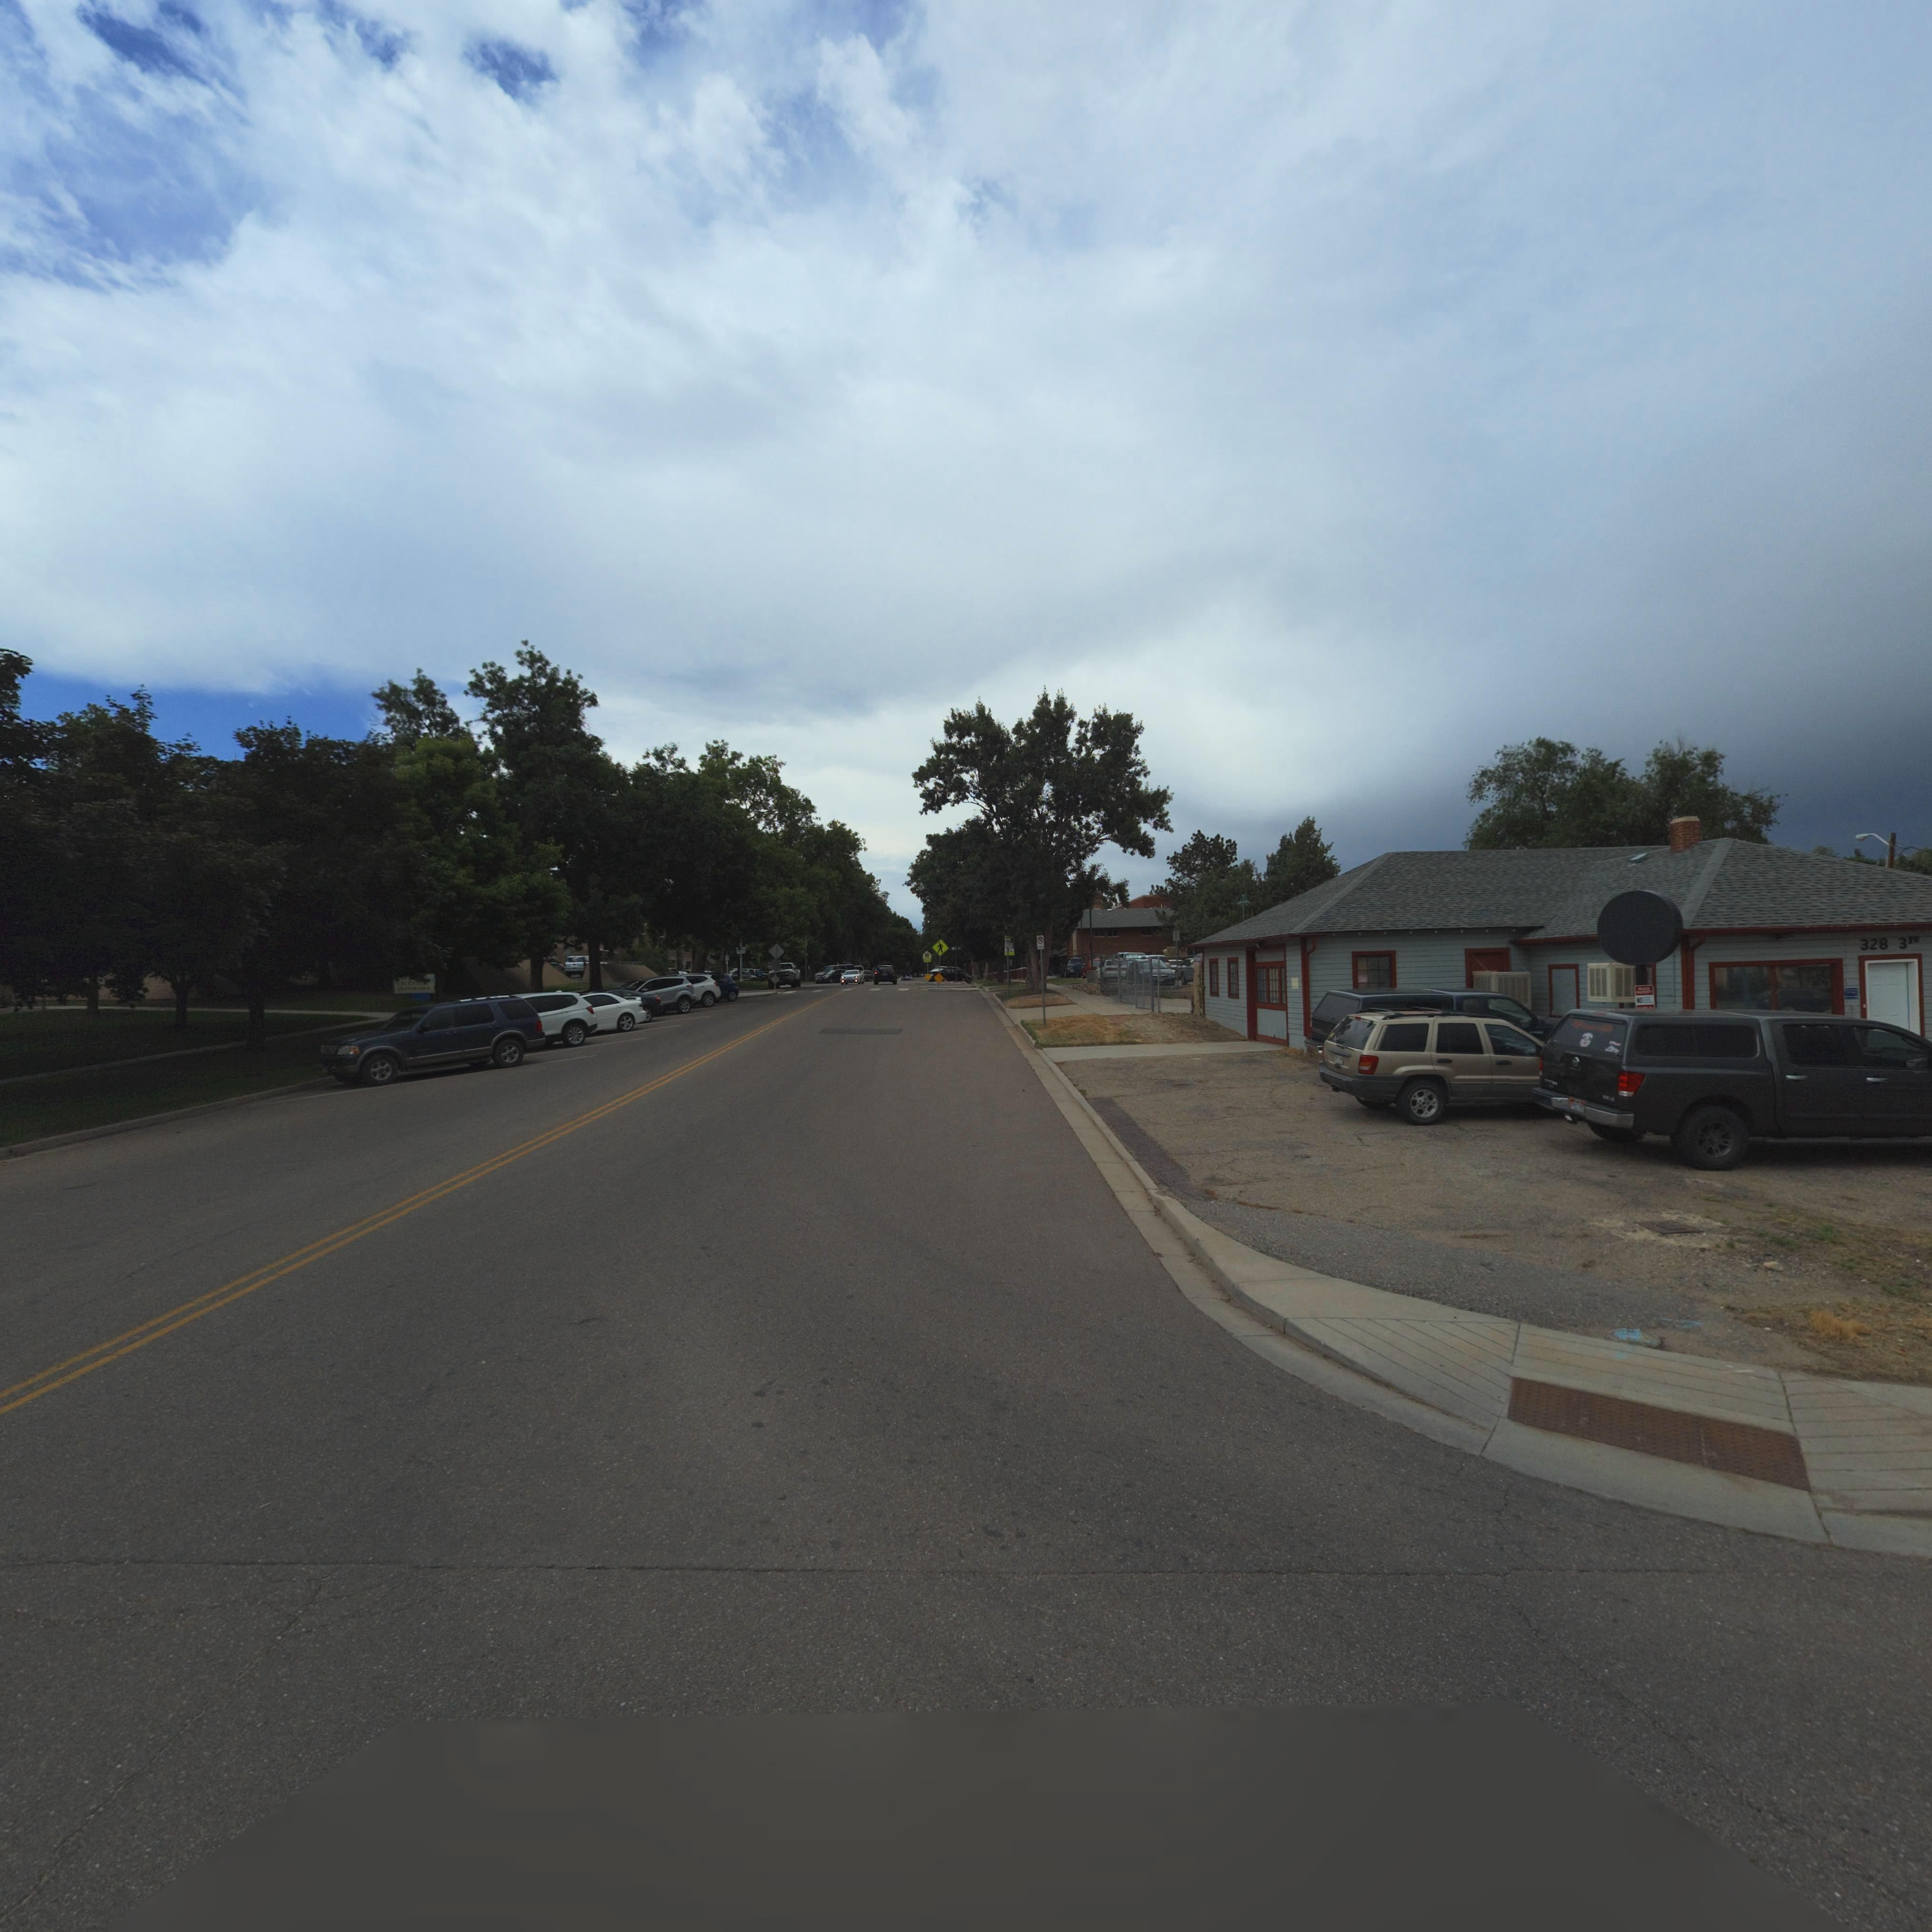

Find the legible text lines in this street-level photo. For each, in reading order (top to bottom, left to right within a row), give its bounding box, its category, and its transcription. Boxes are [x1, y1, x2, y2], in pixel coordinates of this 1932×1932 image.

[1860, 938, 1889, 950] StreetNumber: 328